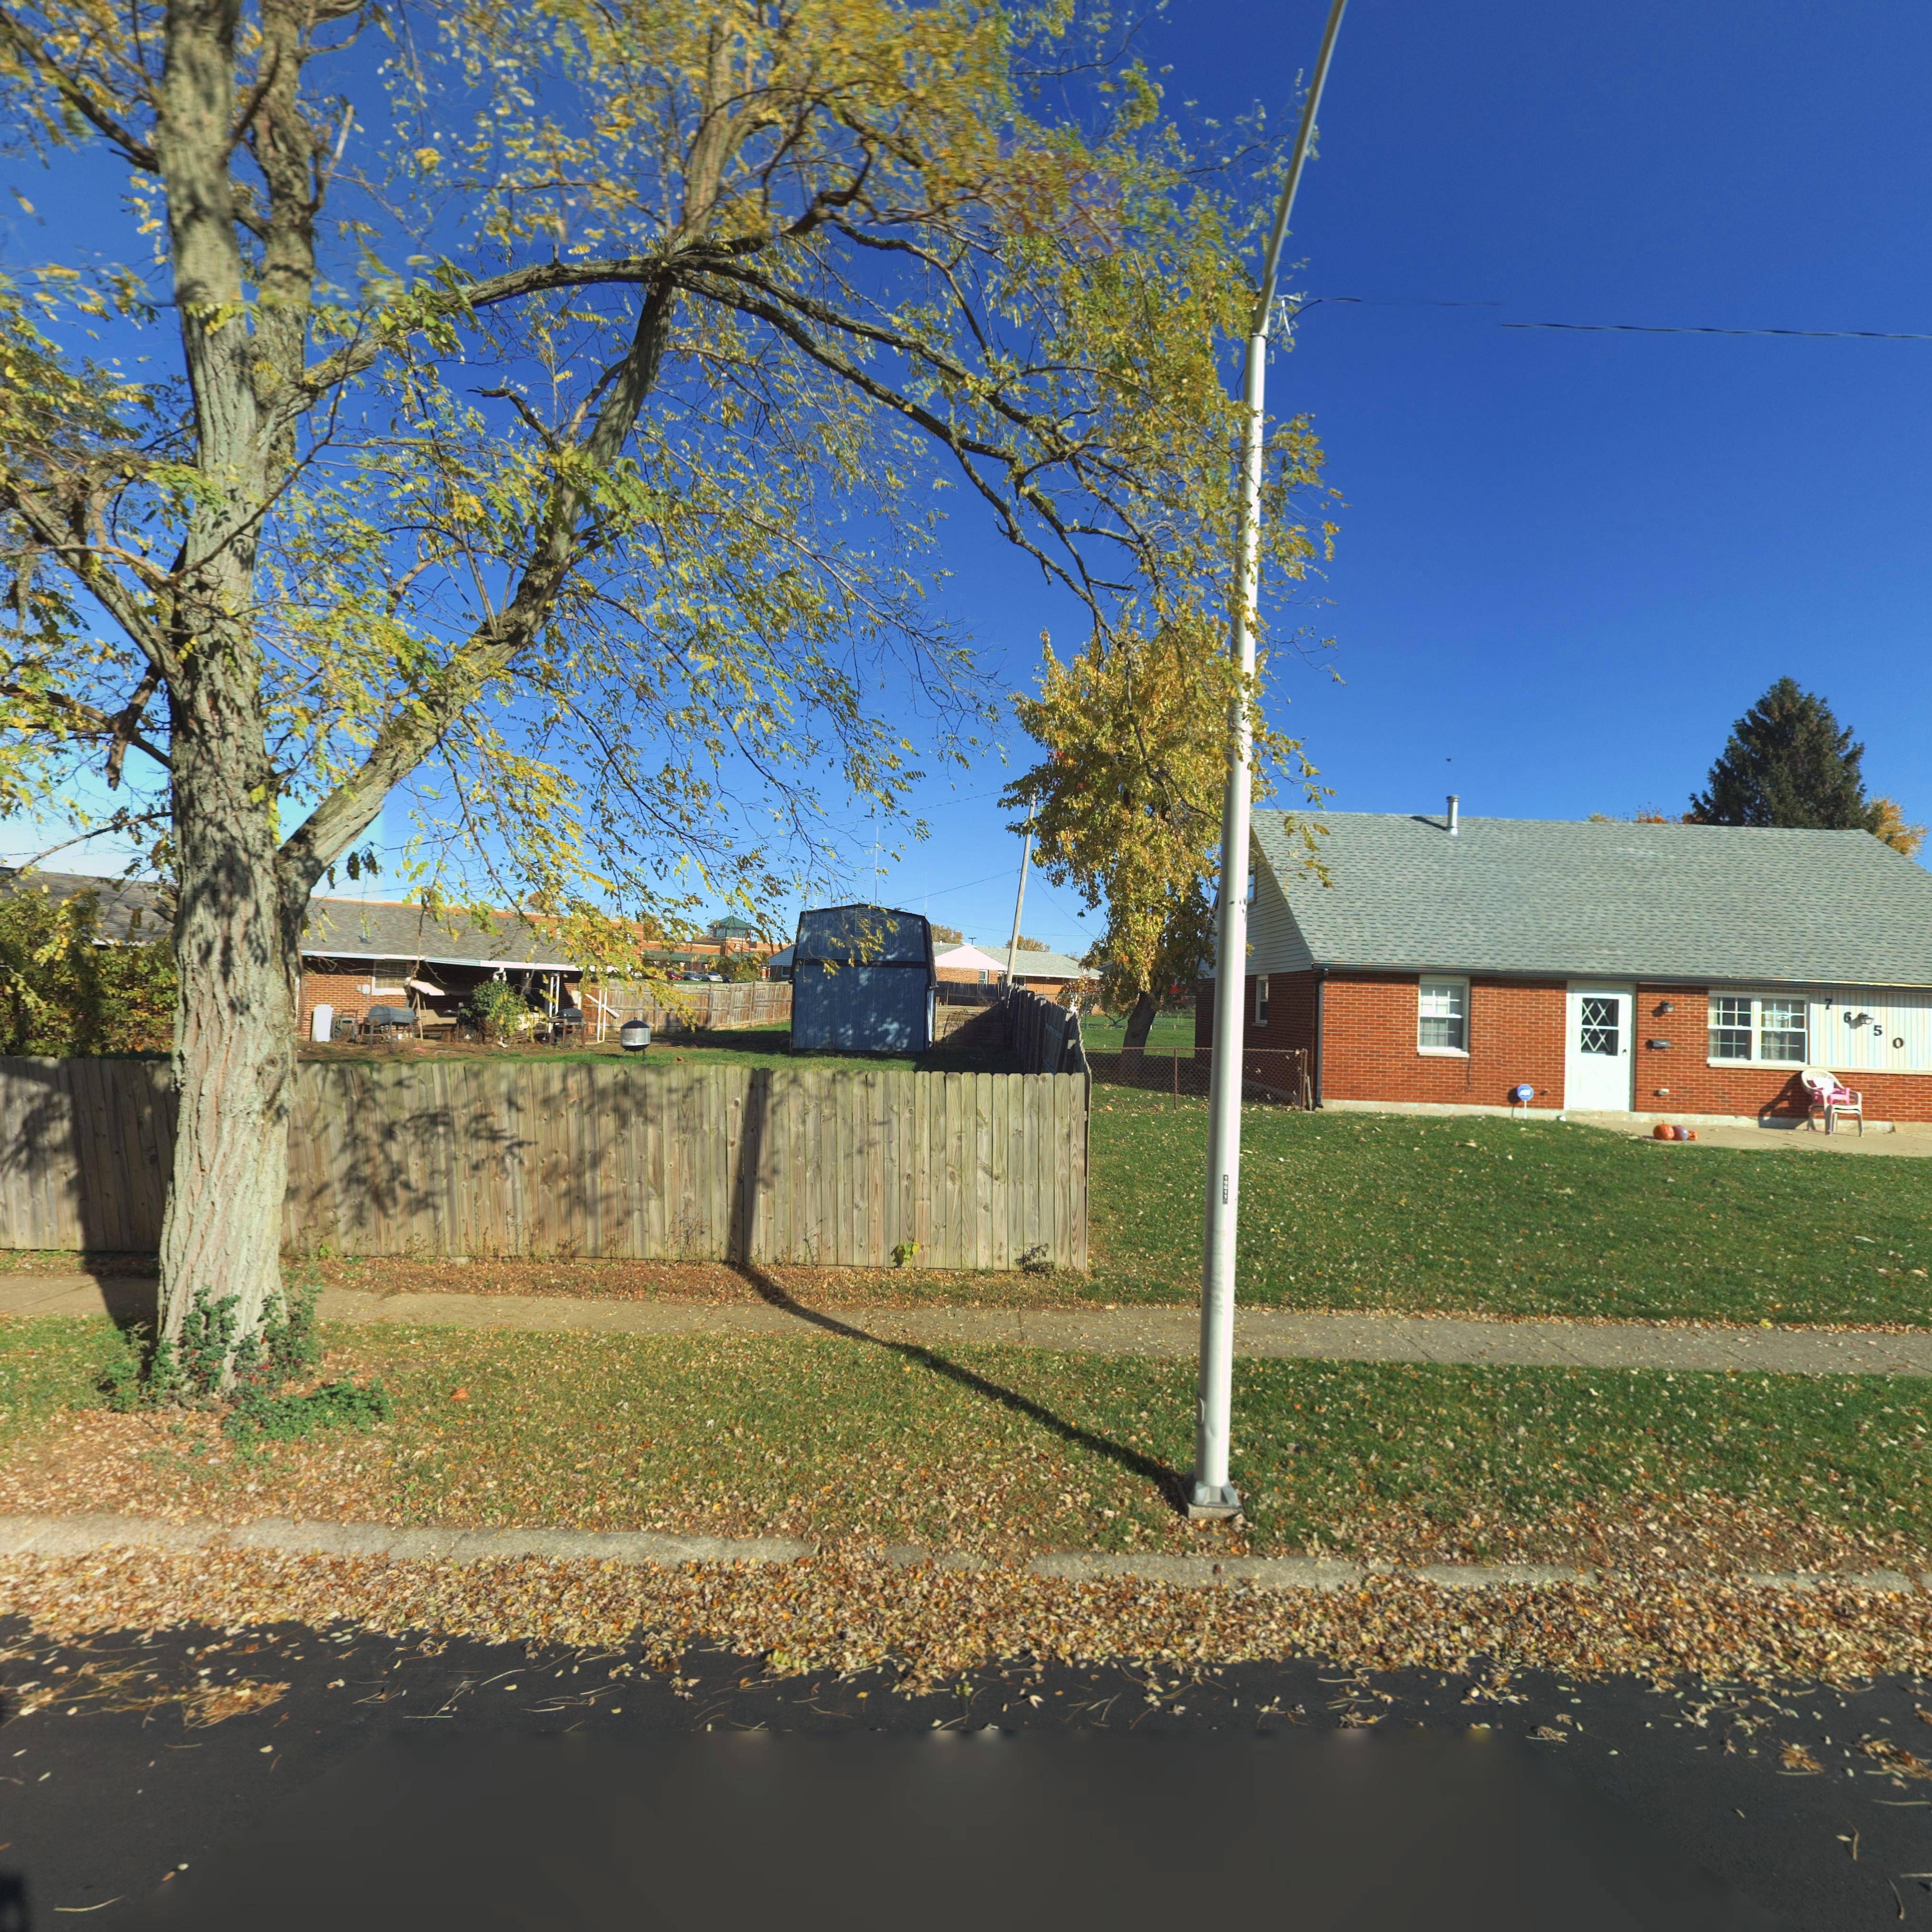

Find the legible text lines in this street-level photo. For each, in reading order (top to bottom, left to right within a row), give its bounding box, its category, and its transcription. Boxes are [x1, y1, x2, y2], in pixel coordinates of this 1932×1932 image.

[1823, 997, 1905, 1051] StreetNumber: 7650